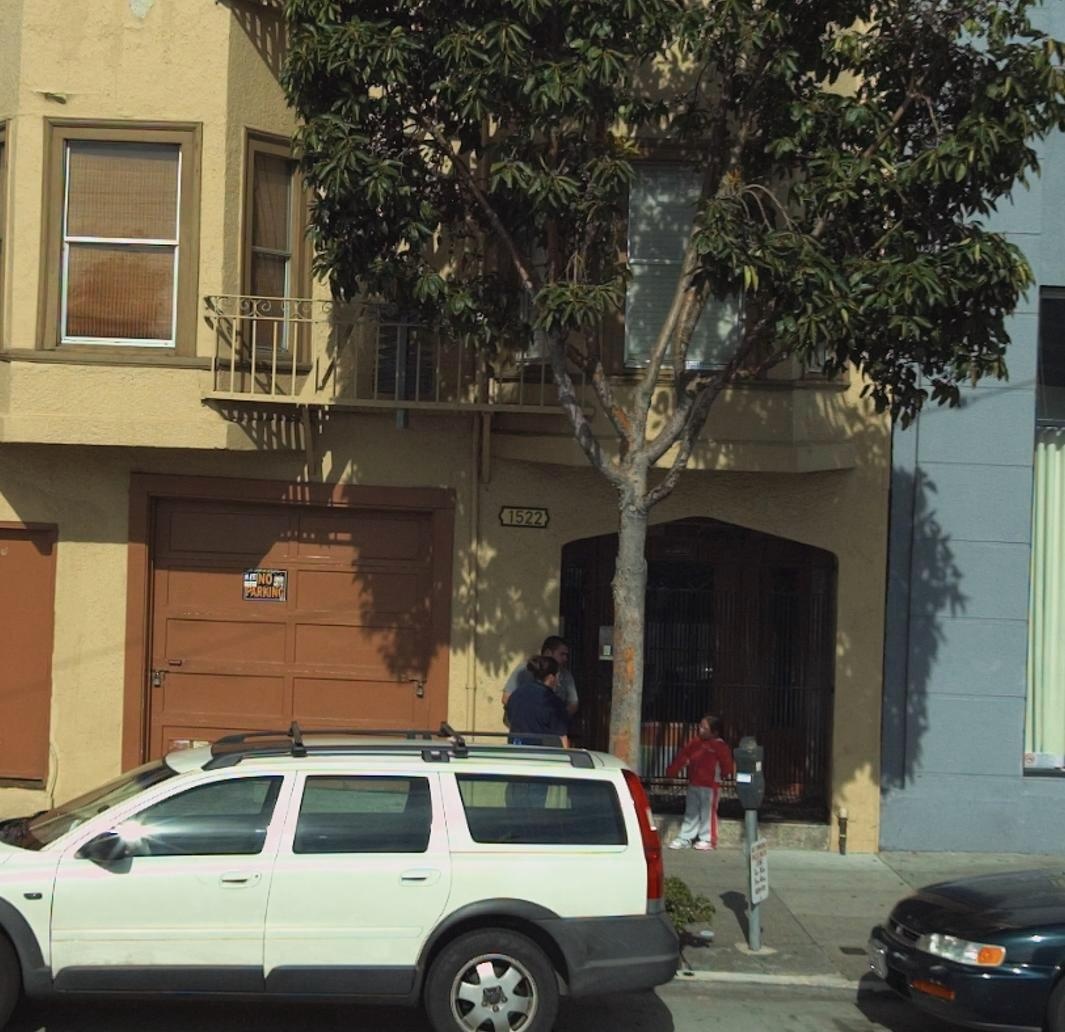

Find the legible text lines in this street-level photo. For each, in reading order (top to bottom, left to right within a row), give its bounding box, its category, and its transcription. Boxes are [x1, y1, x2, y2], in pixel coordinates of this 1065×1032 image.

[505, 506, 546, 529] StreetNumber: 1522
[255, 570, 275, 589] None: NO
[242, 585, 286, 601] None: PARKING